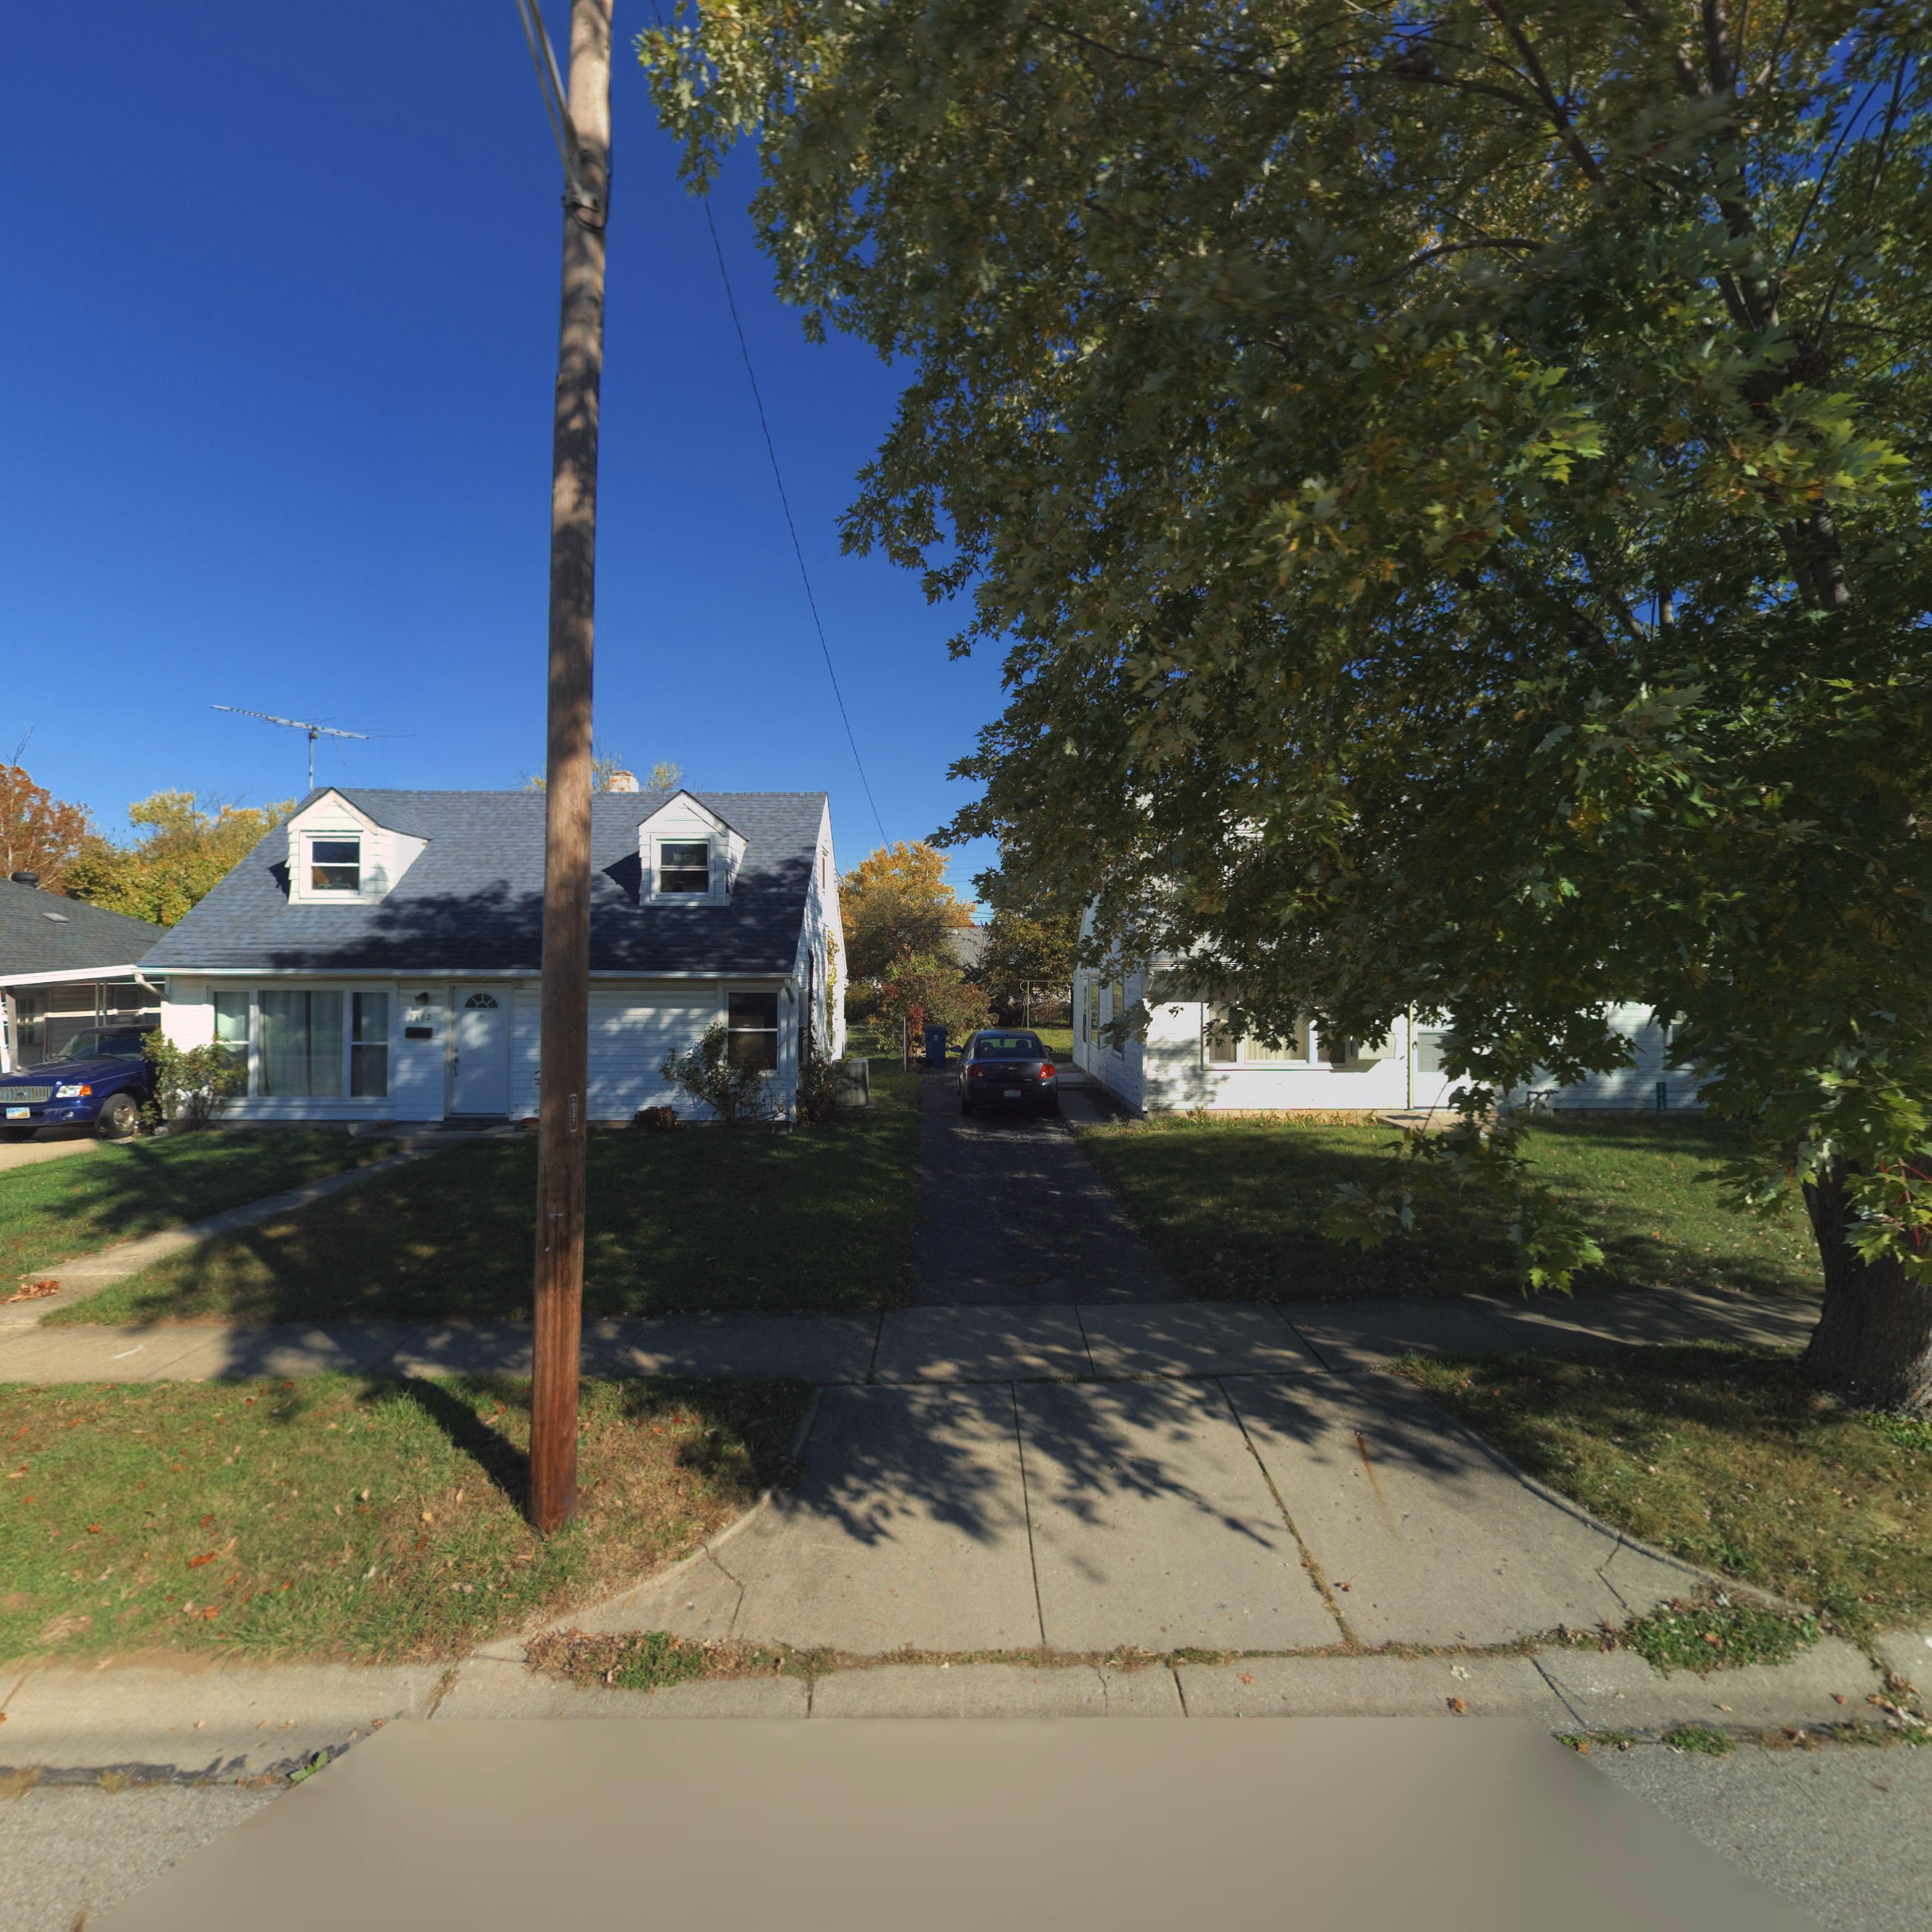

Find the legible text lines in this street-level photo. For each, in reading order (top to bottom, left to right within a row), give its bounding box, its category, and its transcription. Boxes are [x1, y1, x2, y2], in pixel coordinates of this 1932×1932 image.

[407, 1014, 433, 1023] StreetNumber: 2457
[1659, 1083, 1664, 1110] StreetNumber: 2453